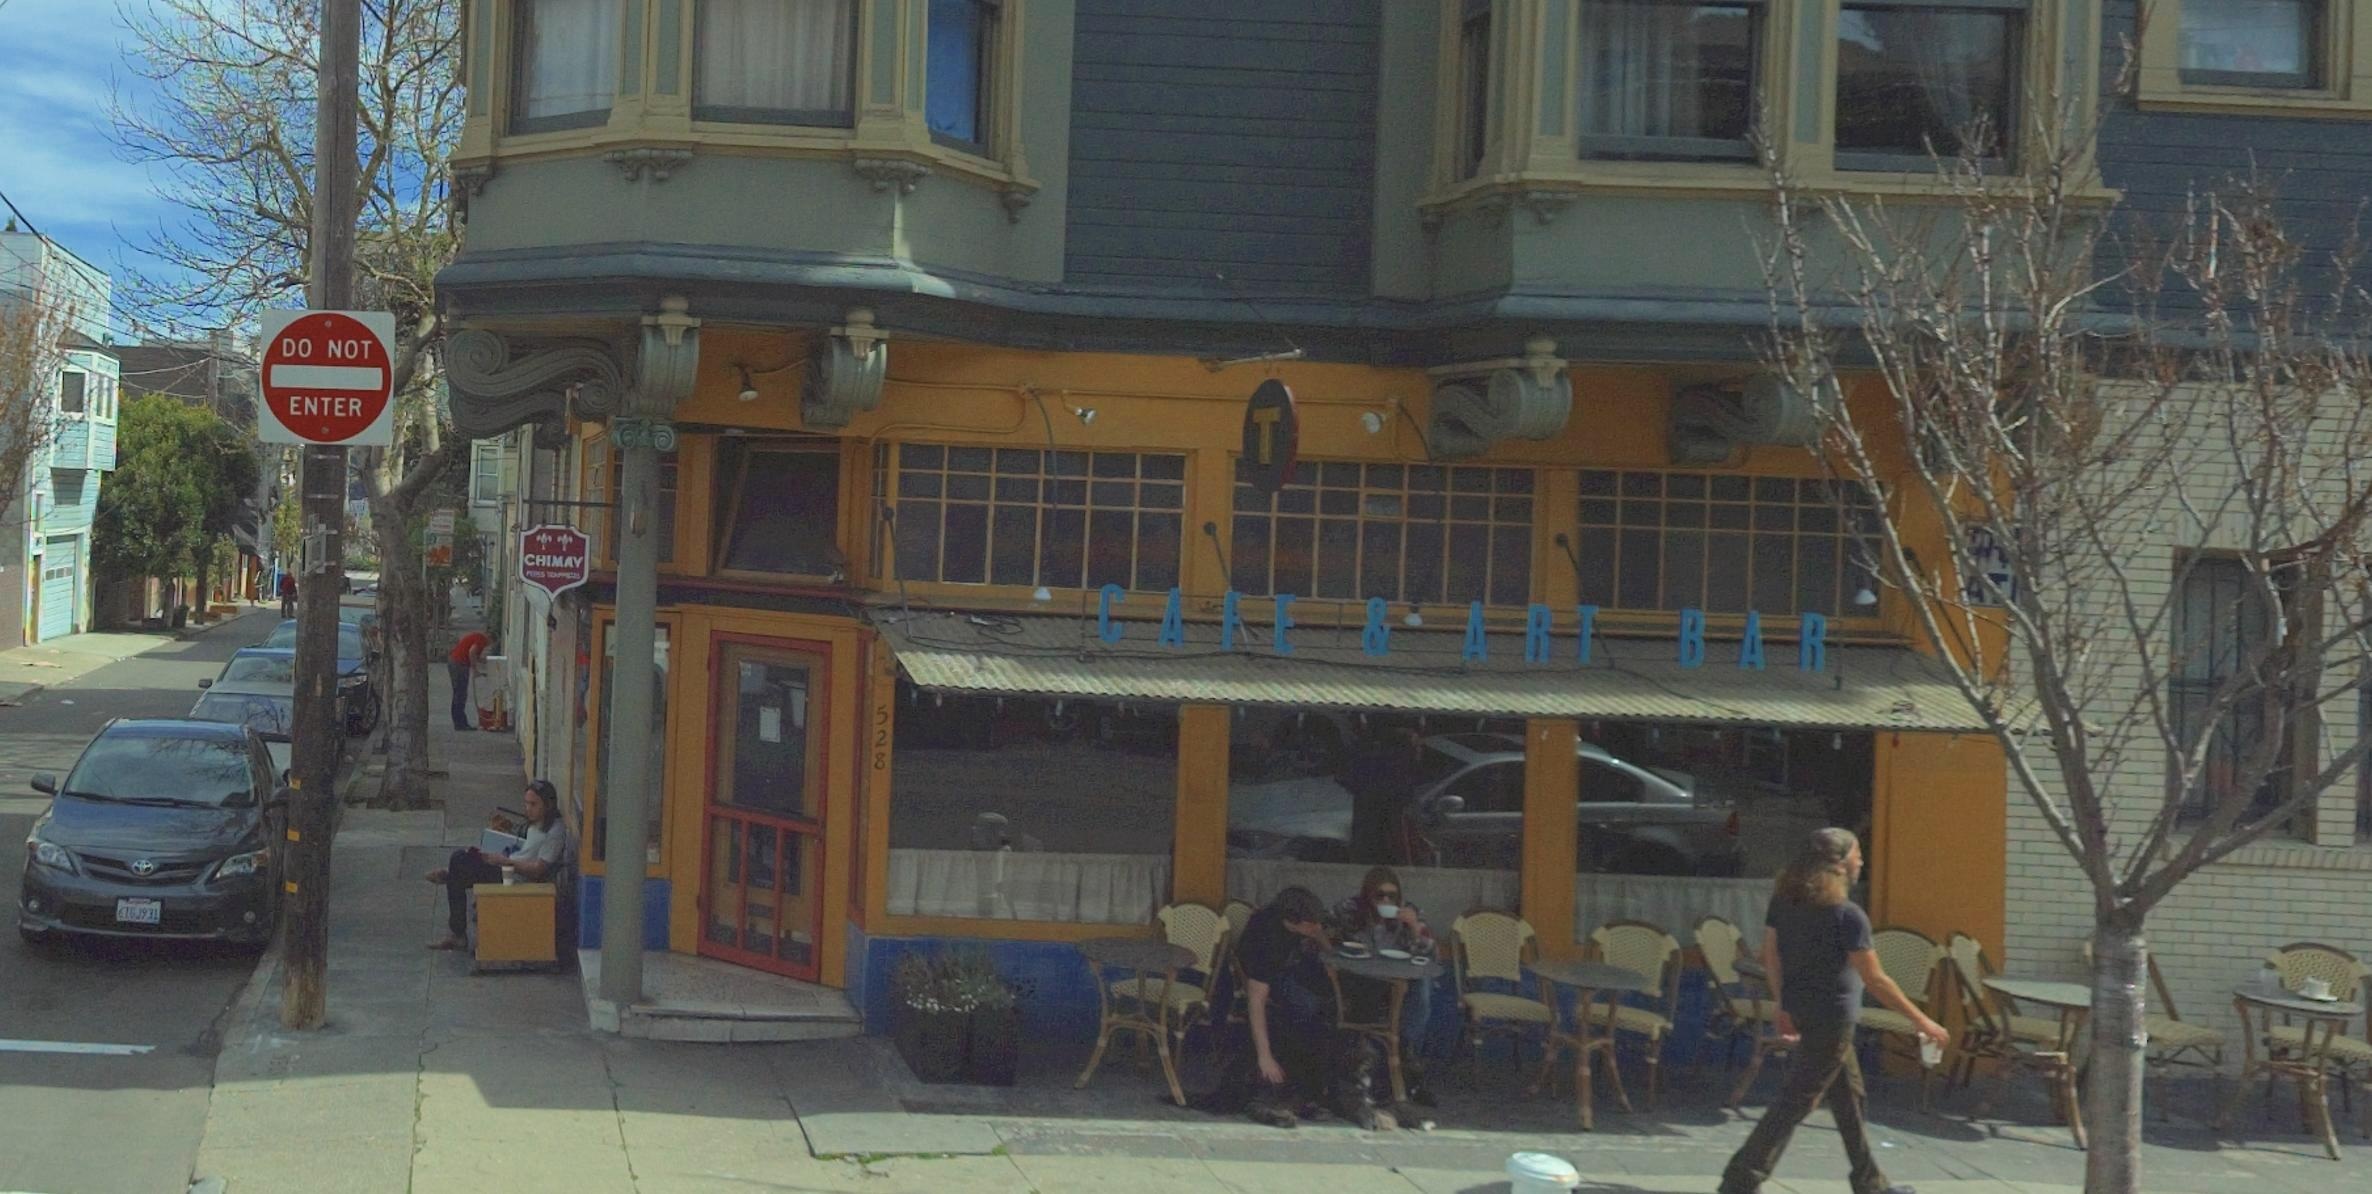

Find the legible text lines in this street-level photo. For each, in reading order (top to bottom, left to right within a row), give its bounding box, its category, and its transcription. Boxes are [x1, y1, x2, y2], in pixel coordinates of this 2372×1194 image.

[278, 333, 377, 363] None: DO NOT
[285, 392, 363, 419] None: ENTER
[1243, 398, 1289, 476] None: T
[522, 550, 586, 572] None: CHIMAY
[1087, 577, 1833, 679] BusinessName: CAFE & ART BAR
[868, 701, 890, 774] StreetNumber: 528